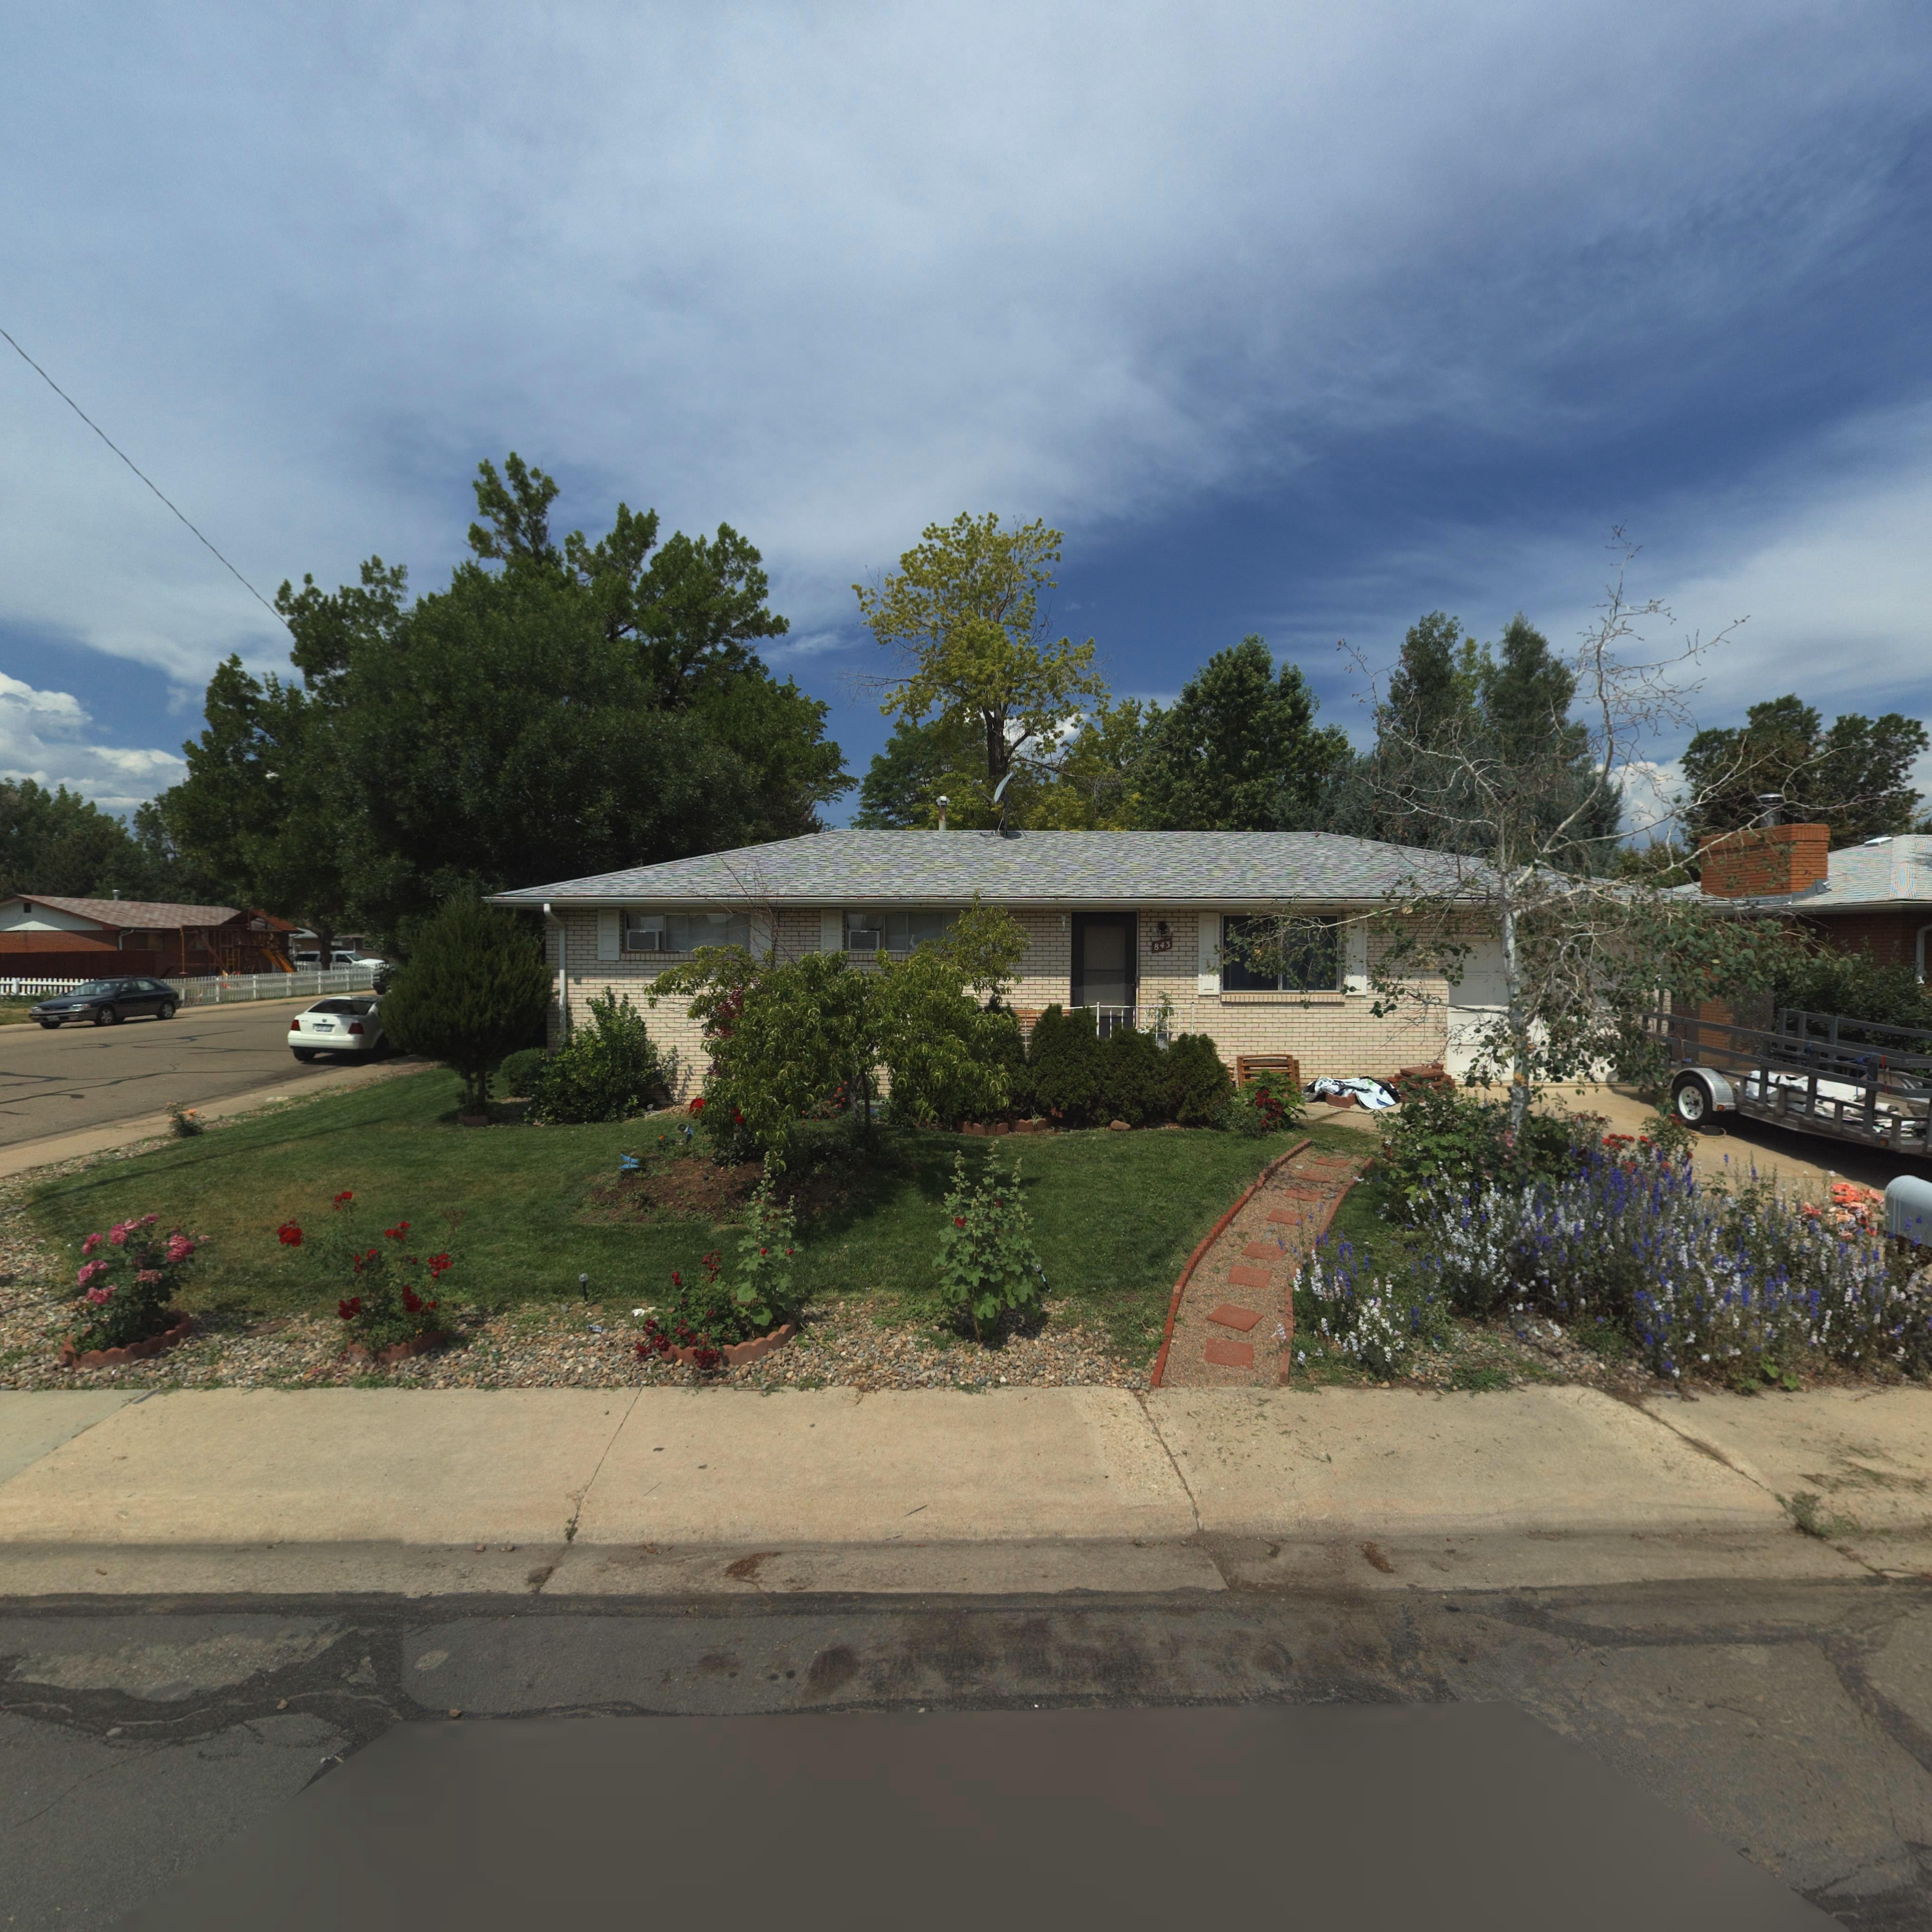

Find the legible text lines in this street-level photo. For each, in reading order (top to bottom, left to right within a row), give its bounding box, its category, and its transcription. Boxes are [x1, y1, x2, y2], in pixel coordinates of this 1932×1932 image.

[1153, 941, 1170, 950] StreetNumber: 843